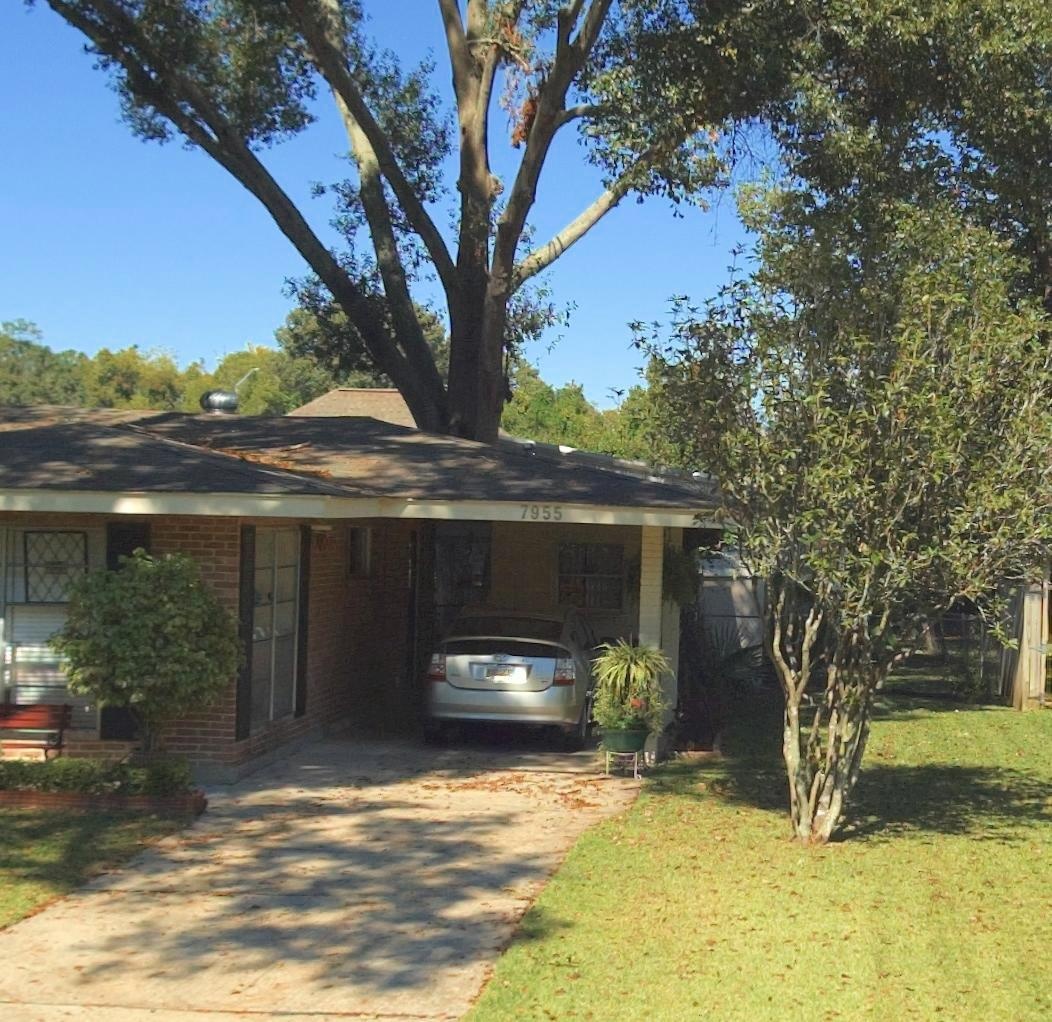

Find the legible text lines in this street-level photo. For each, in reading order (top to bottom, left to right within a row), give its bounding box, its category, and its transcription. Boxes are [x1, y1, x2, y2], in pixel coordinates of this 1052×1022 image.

[517, 502, 565, 523] StreetNumber: 7955